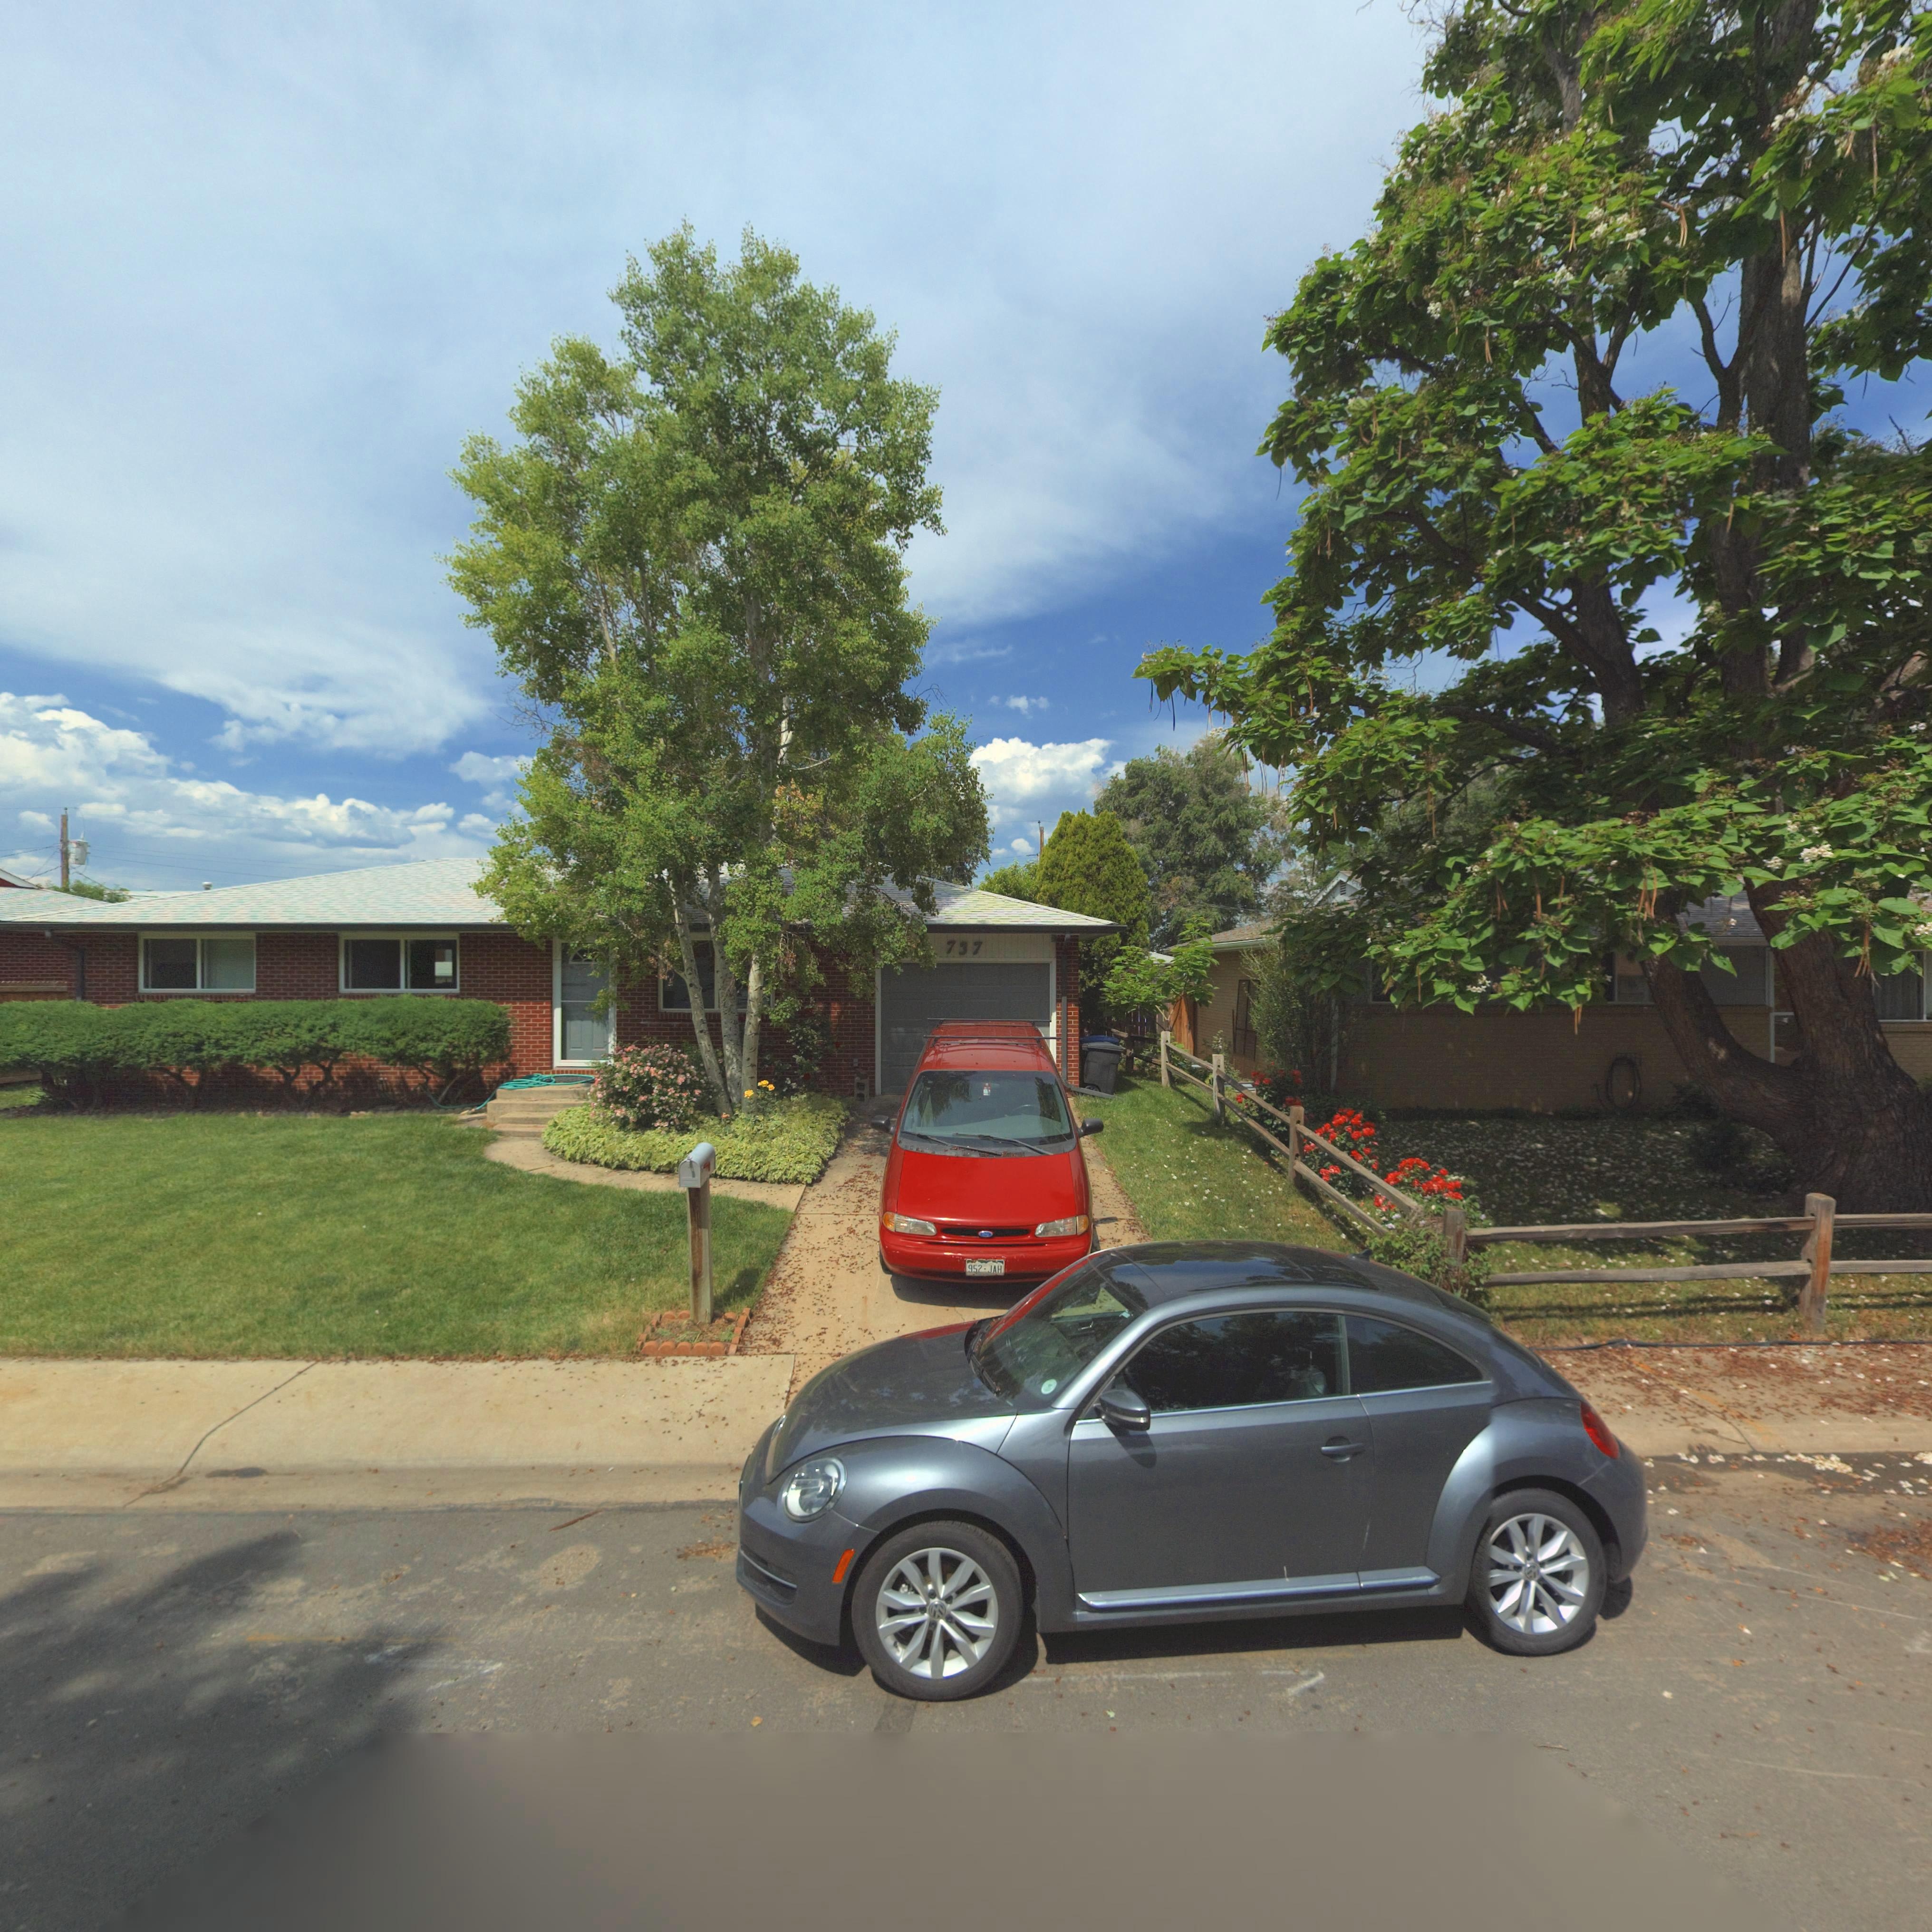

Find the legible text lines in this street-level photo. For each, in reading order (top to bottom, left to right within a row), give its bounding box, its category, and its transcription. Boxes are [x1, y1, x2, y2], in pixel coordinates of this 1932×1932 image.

[946, 939, 984, 956] StreetNumber: 737